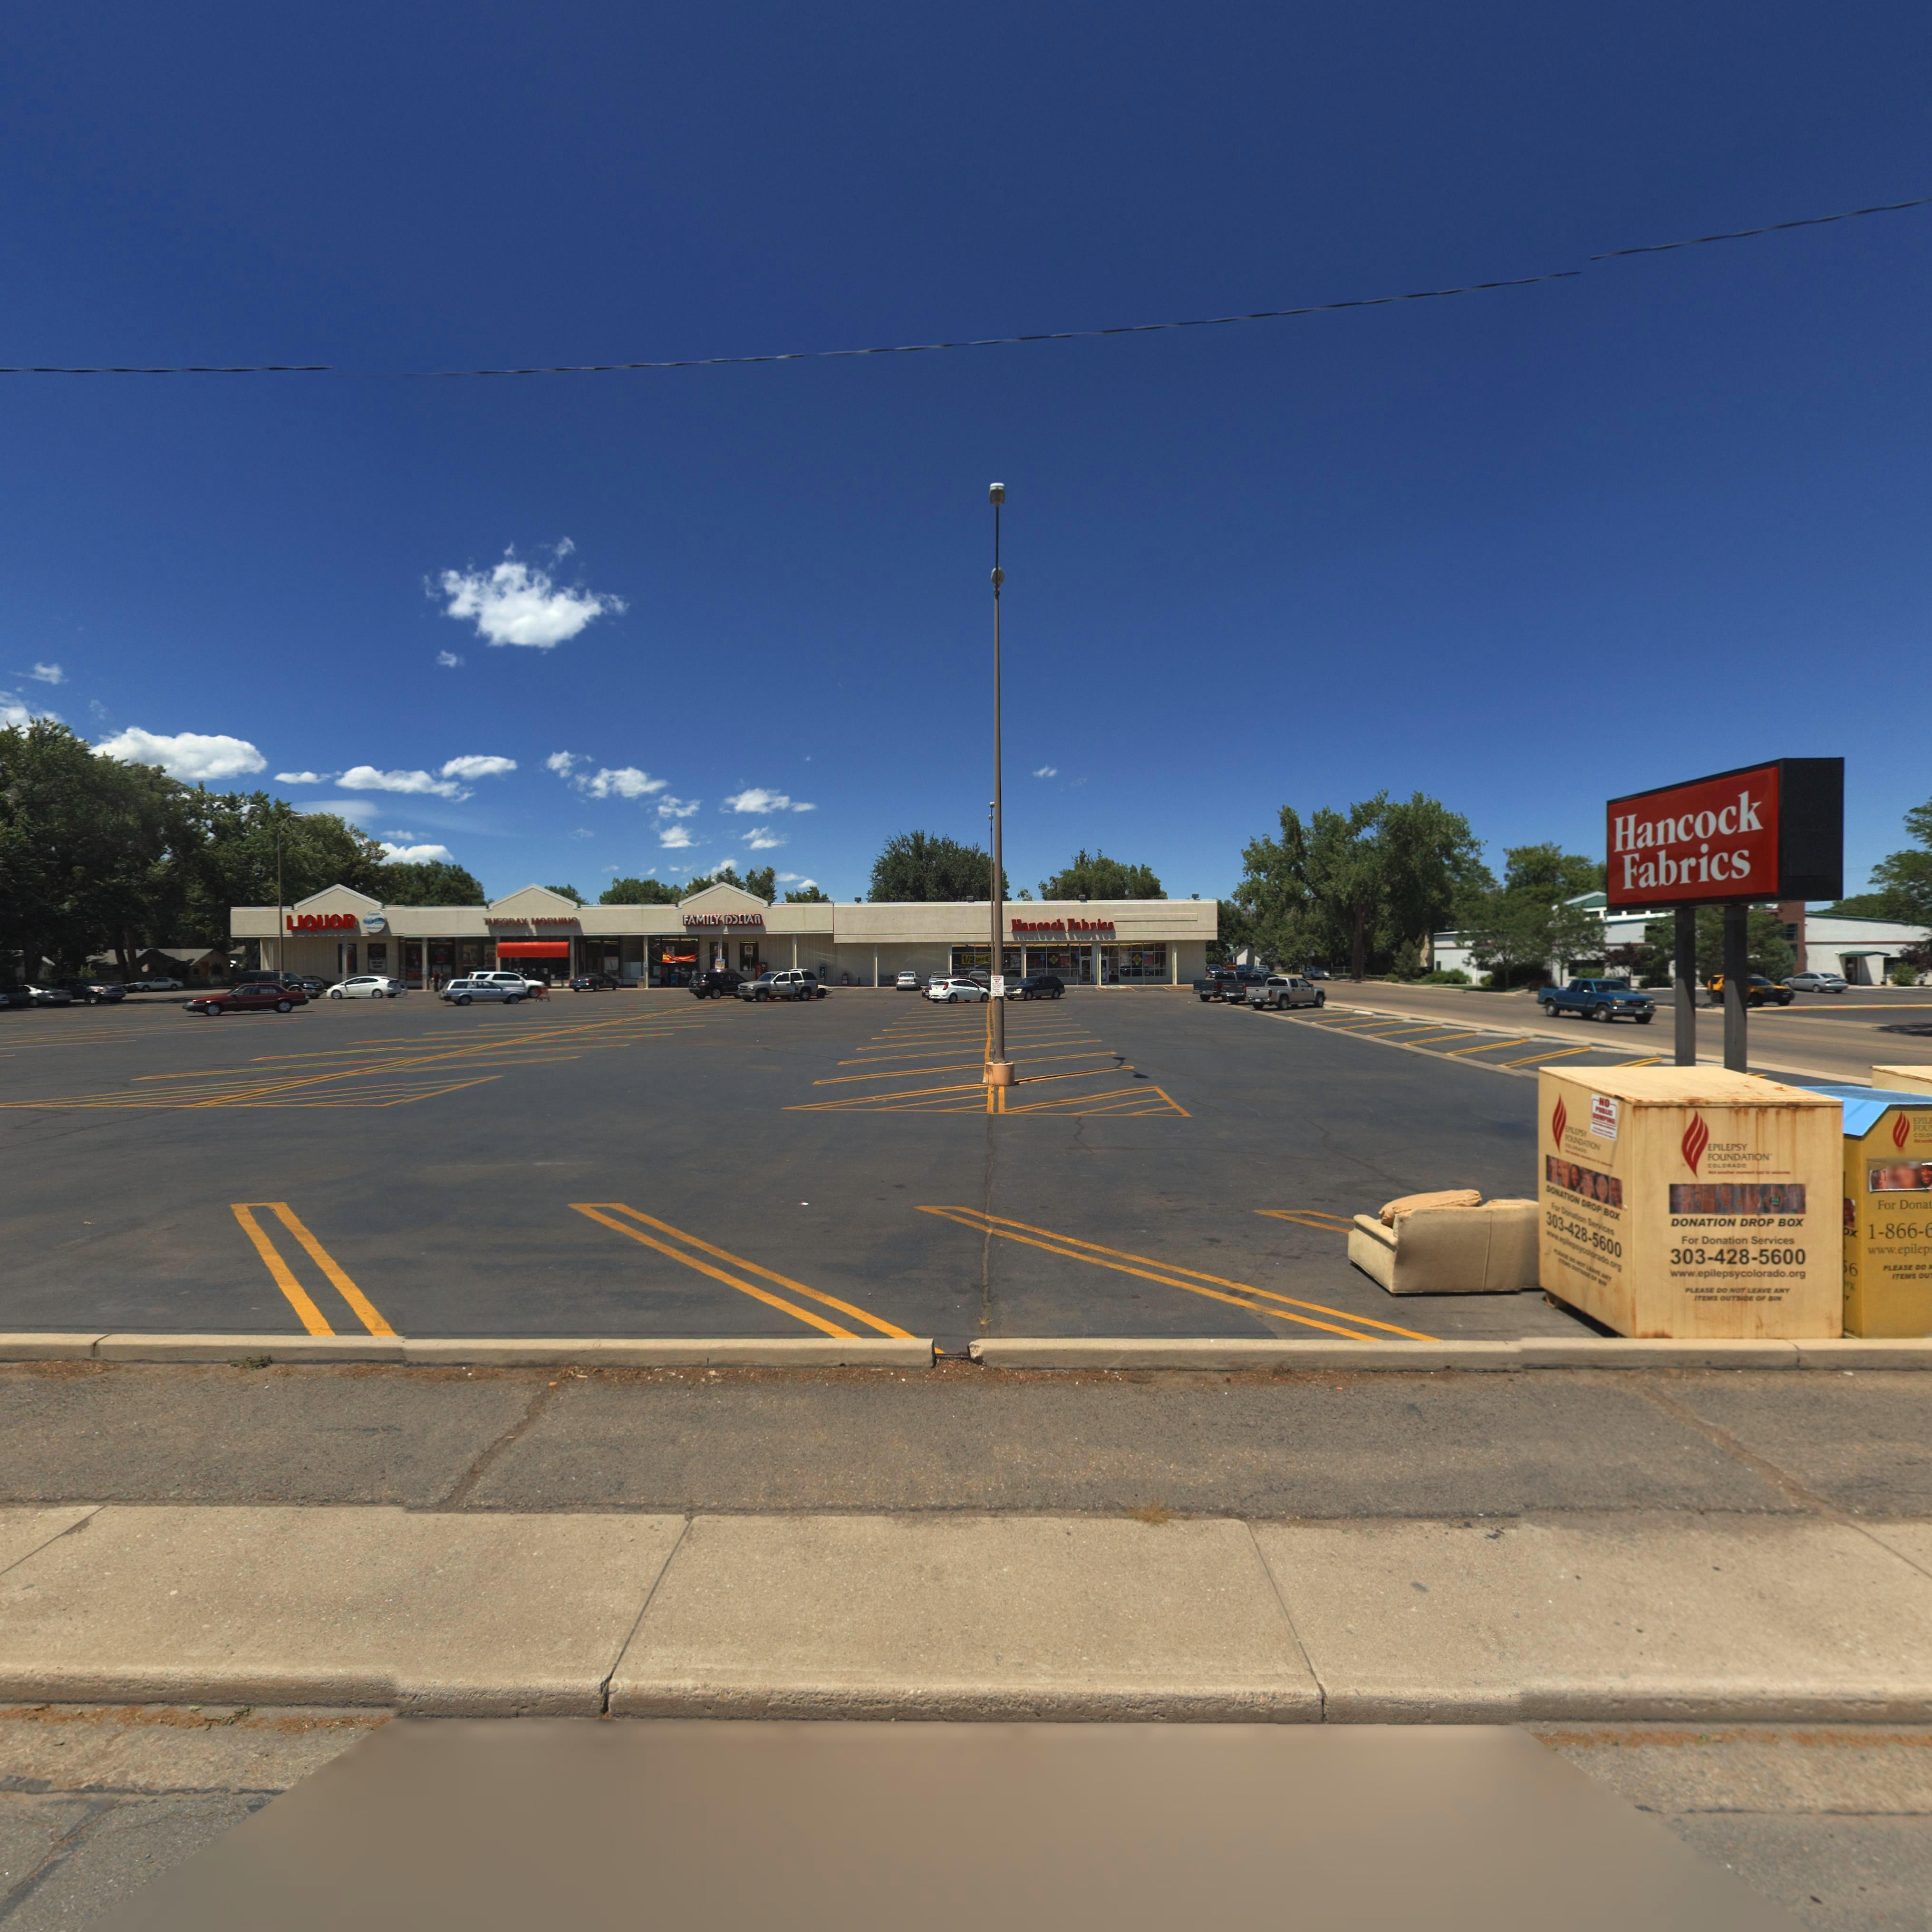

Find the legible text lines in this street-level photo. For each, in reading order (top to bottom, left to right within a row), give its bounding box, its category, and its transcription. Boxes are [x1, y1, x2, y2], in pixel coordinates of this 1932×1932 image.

[1613, 789, 1765, 853] BusinessName: Hancock
[1621, 842, 1751, 891] BusinessName: Fabrics
[364, 917, 385, 925] BusinessName: 9th ***
[482, 917, 578, 926] BusinessName: TUESDAY MORNING
[683, 913, 762, 925] BusinessName: FAMILY D**L*R
[1011, 918, 1115, 931] BusinessName: Hancock Fabrics